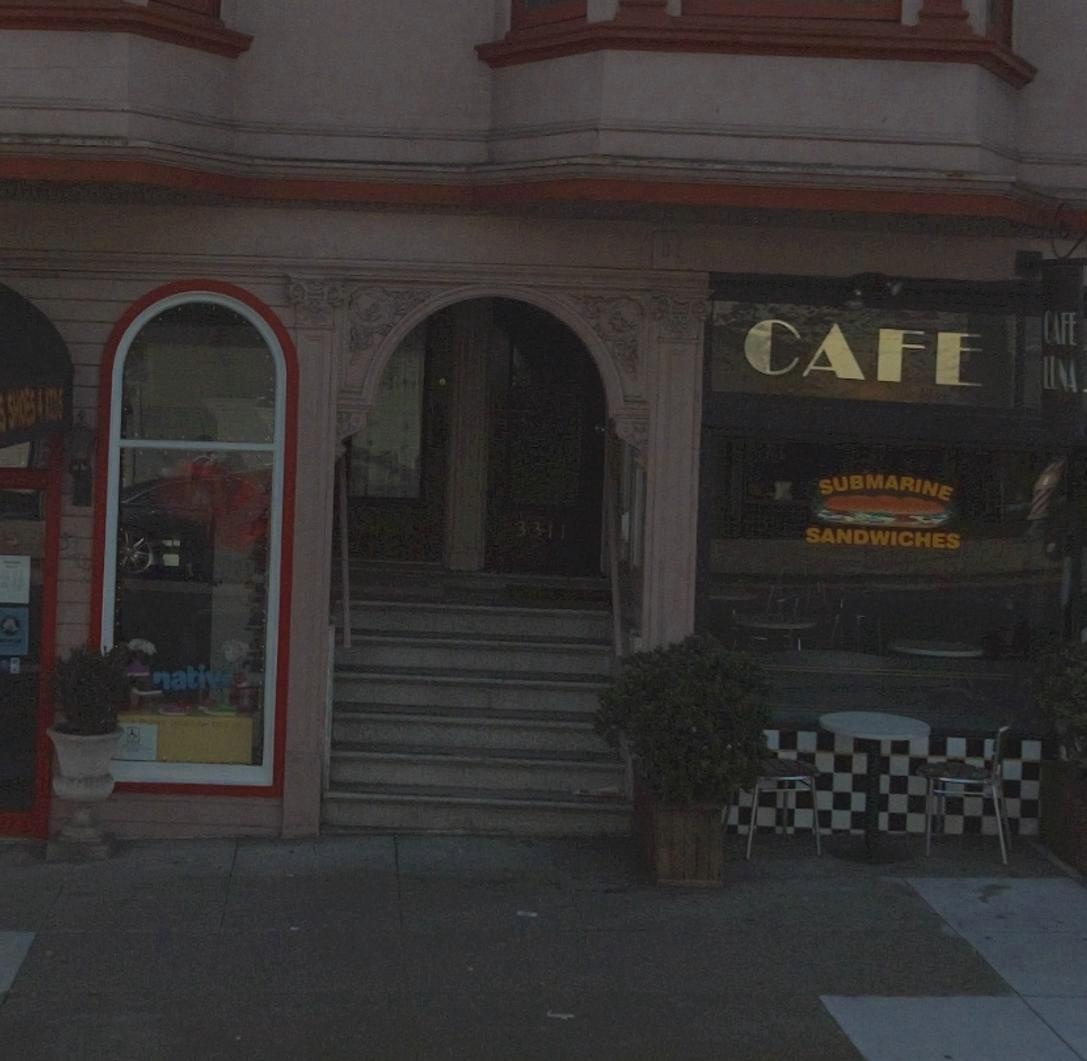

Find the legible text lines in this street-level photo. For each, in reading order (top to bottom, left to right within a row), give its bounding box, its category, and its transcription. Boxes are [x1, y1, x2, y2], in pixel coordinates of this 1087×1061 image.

[1041, 306, 1080, 349] BusinessName: CAFE
[737, 313, 986, 391] BusinessName: CAFE
[1041, 352, 1080, 396] BusinessName: L*NA
[813, 471, 957, 504] None: SUBMARINE
[513, 517, 569, 543] StreetNumber: 3311
[801, 524, 963, 552] None: SANDWICHES
[150, 661, 237, 693] None: native